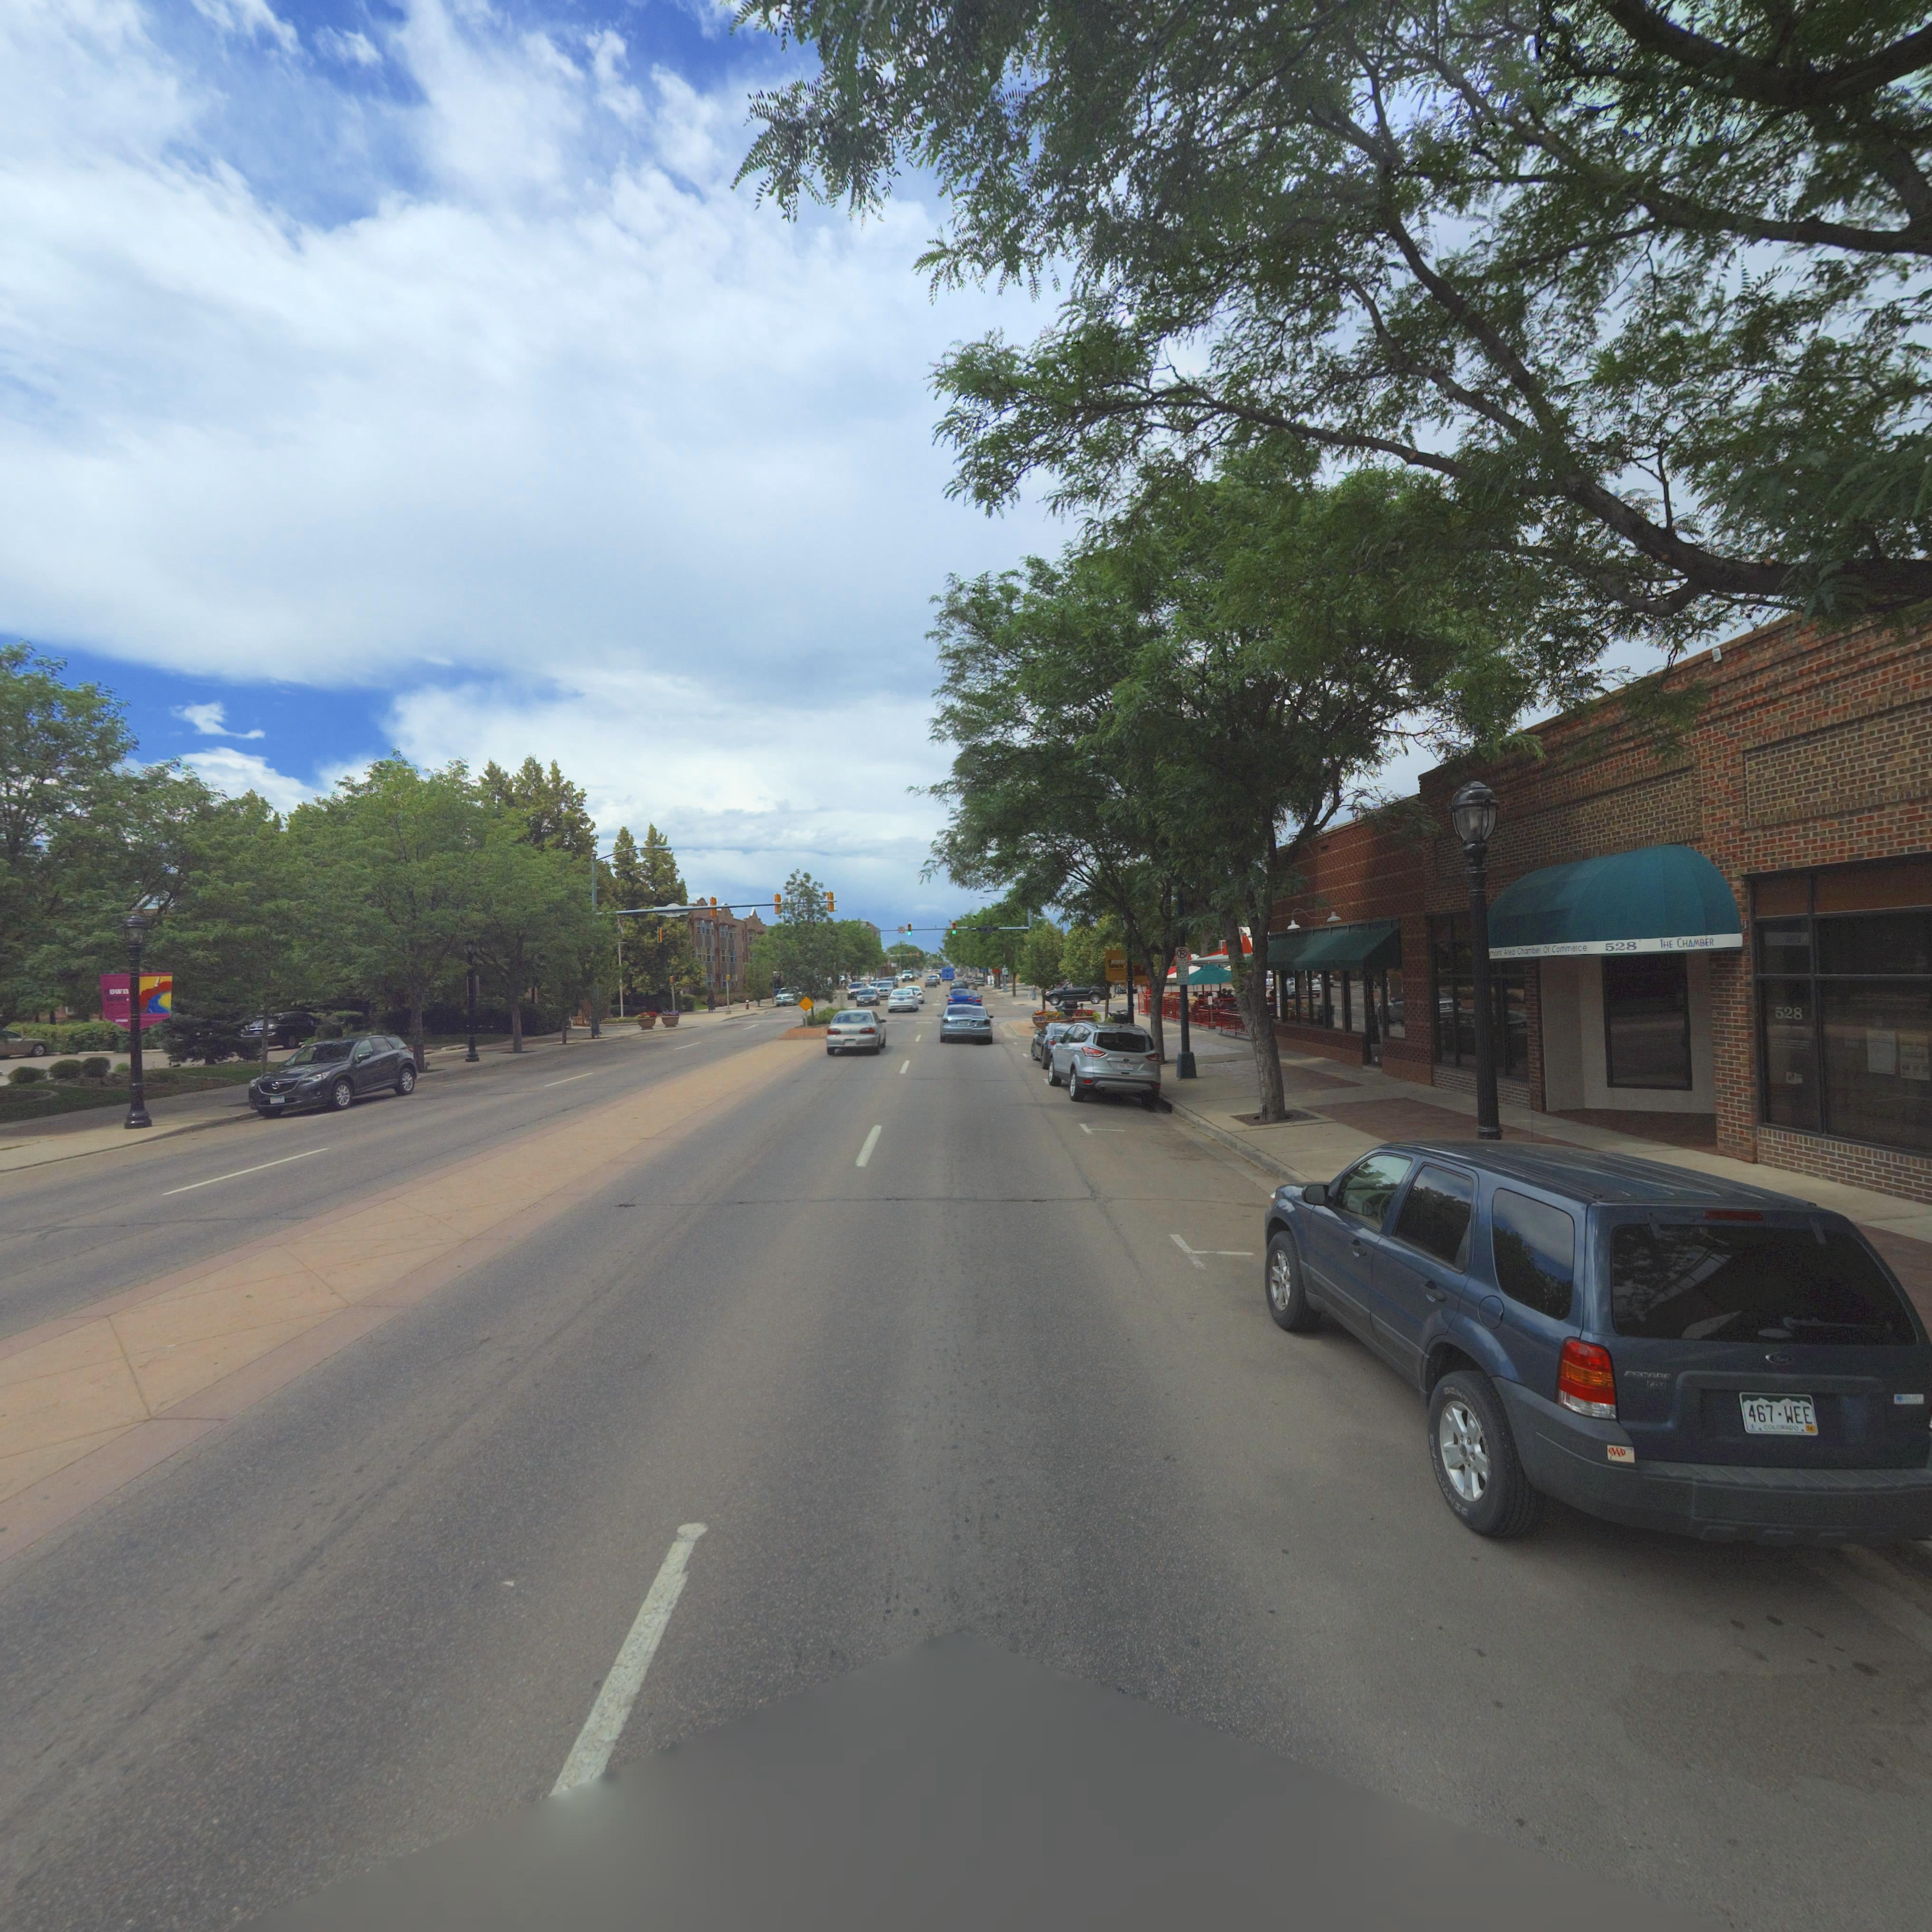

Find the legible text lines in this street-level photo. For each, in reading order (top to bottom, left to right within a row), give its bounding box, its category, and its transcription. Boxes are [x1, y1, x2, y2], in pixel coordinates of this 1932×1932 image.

[1489, 944, 1587, 957] BusinessName: mont Area Chamber Of Commerce
[1605, 941, 1637, 952] StreetNumber: 528
[1660, 937, 1714, 948] BusinessName: THE CHAMBER
[1774, 1006, 1803, 1020] StreetNumber: 528